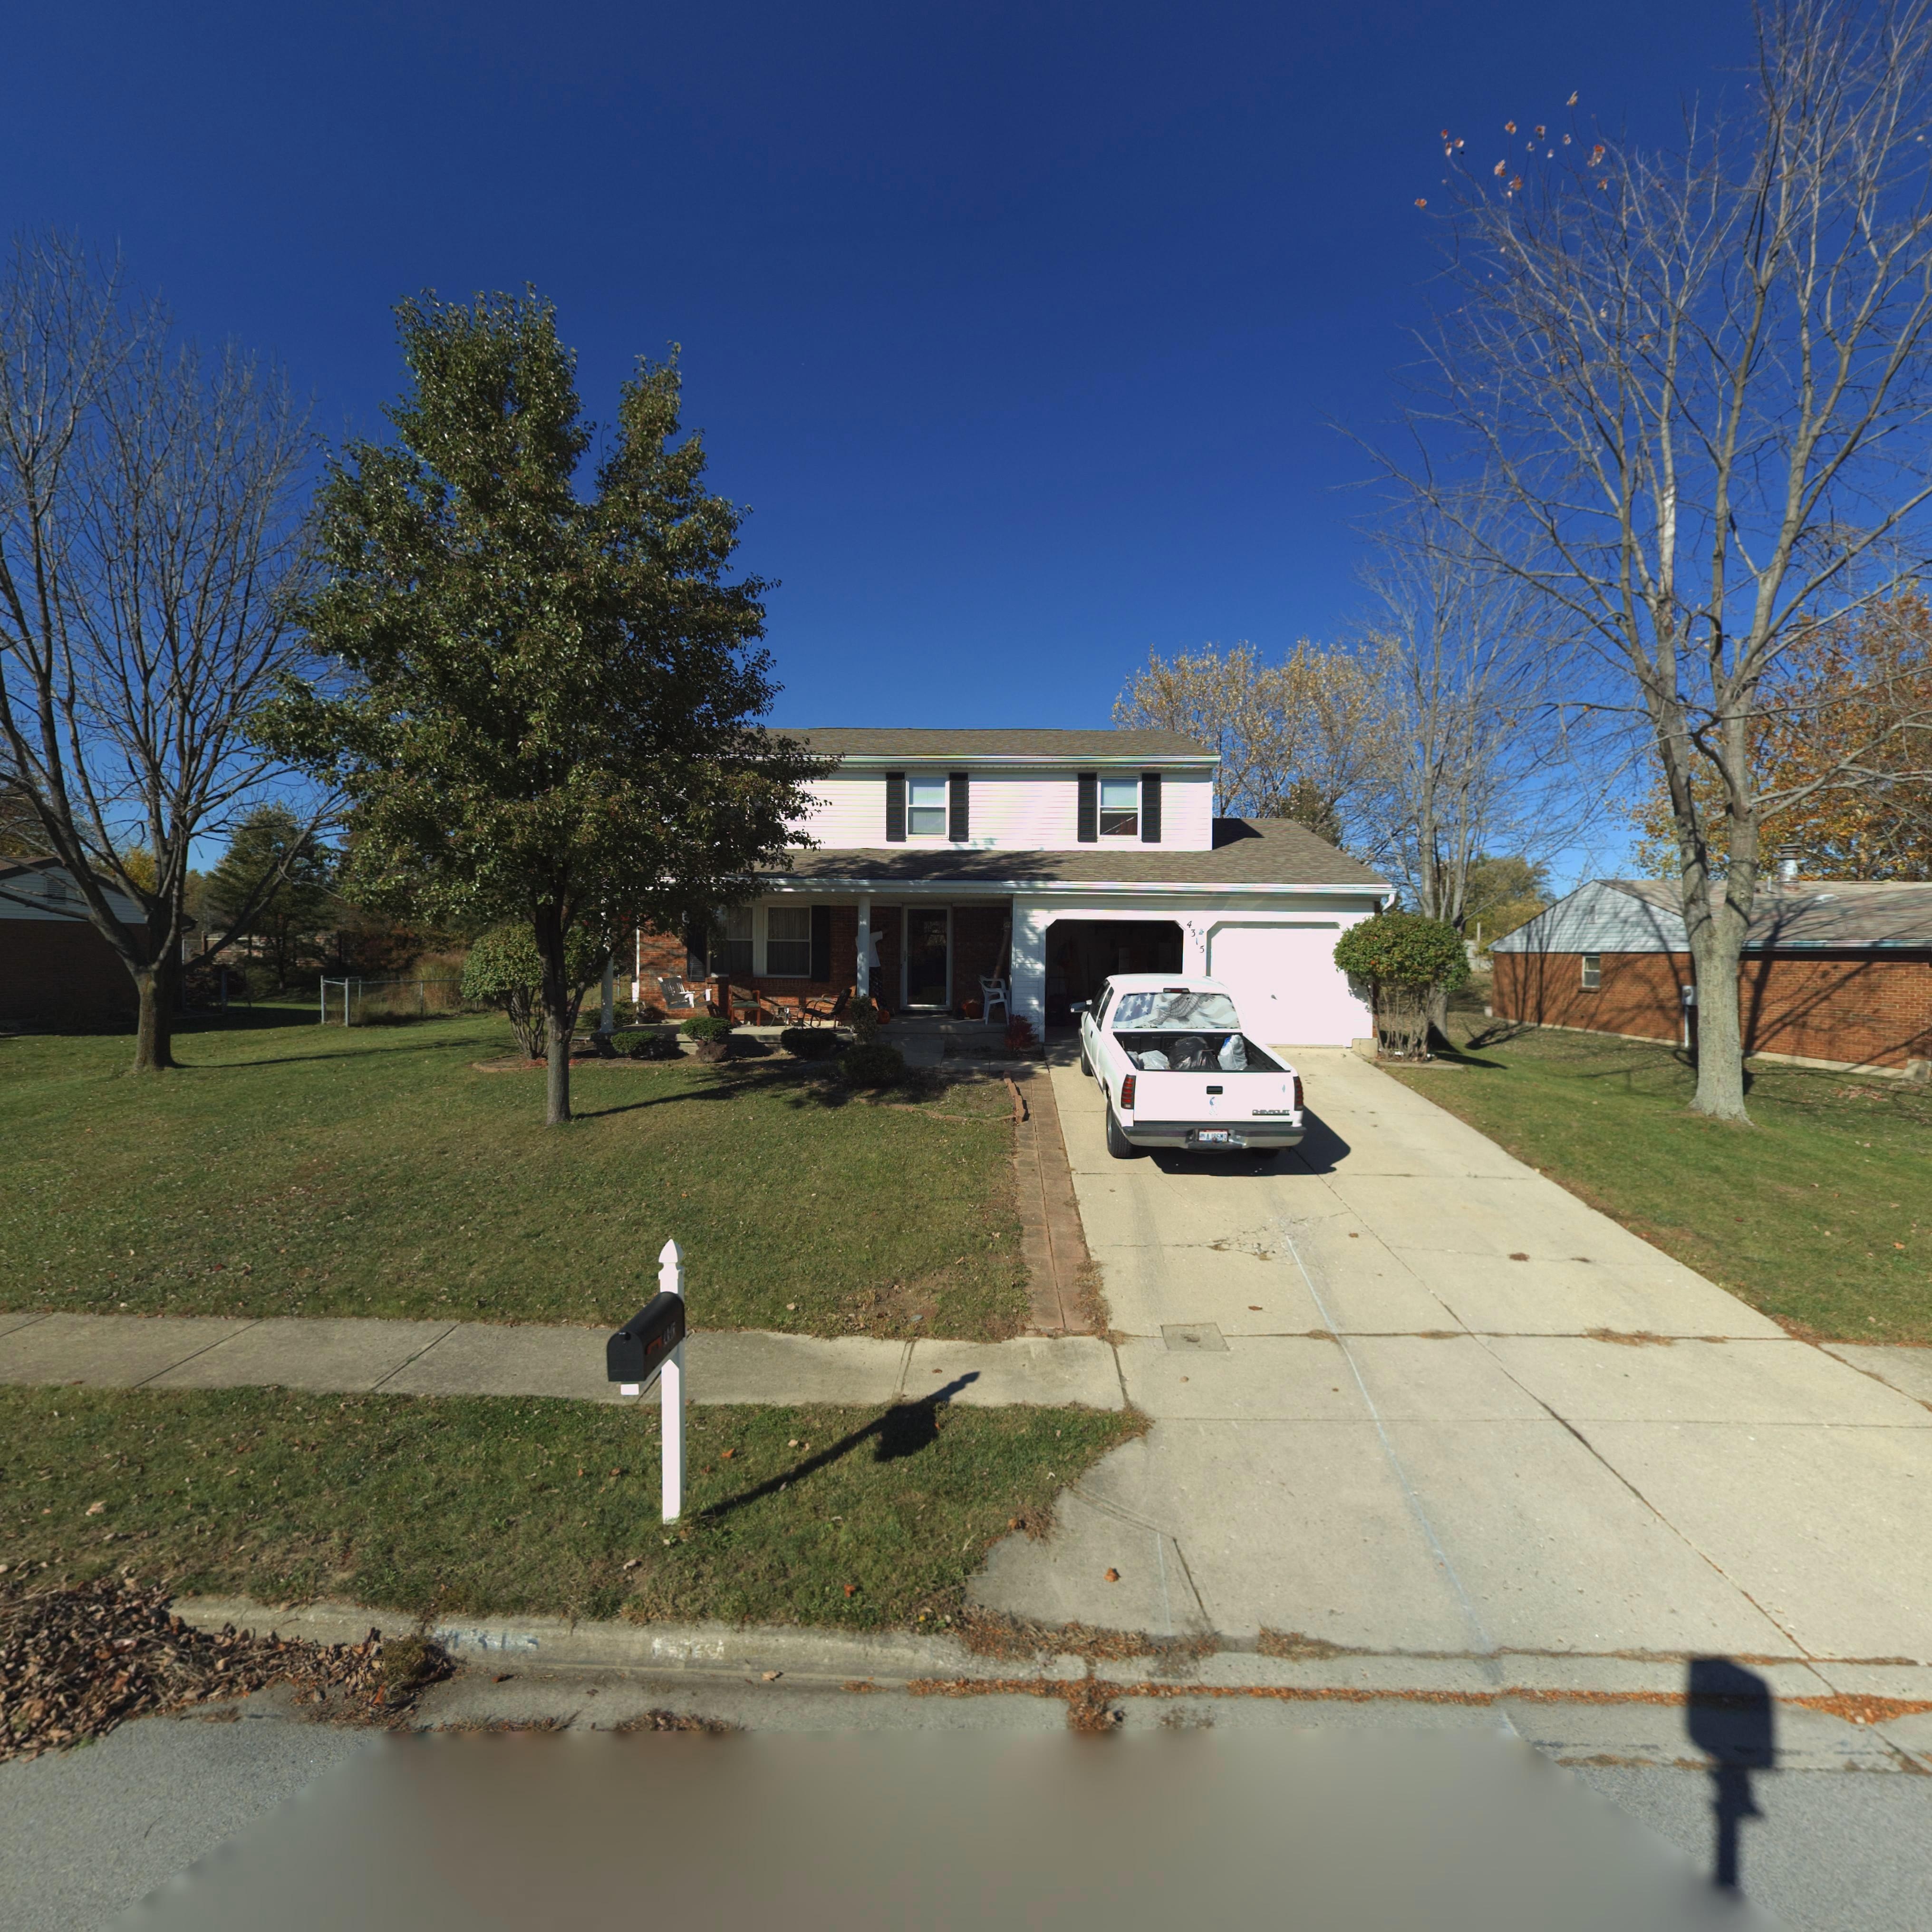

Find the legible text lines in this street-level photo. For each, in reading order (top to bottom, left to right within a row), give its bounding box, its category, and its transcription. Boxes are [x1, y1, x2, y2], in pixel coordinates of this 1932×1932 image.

[1185, 920, 1205, 954] StreetNumber: 4315
[437, 1626, 512, 1656] StreetNumber: 431